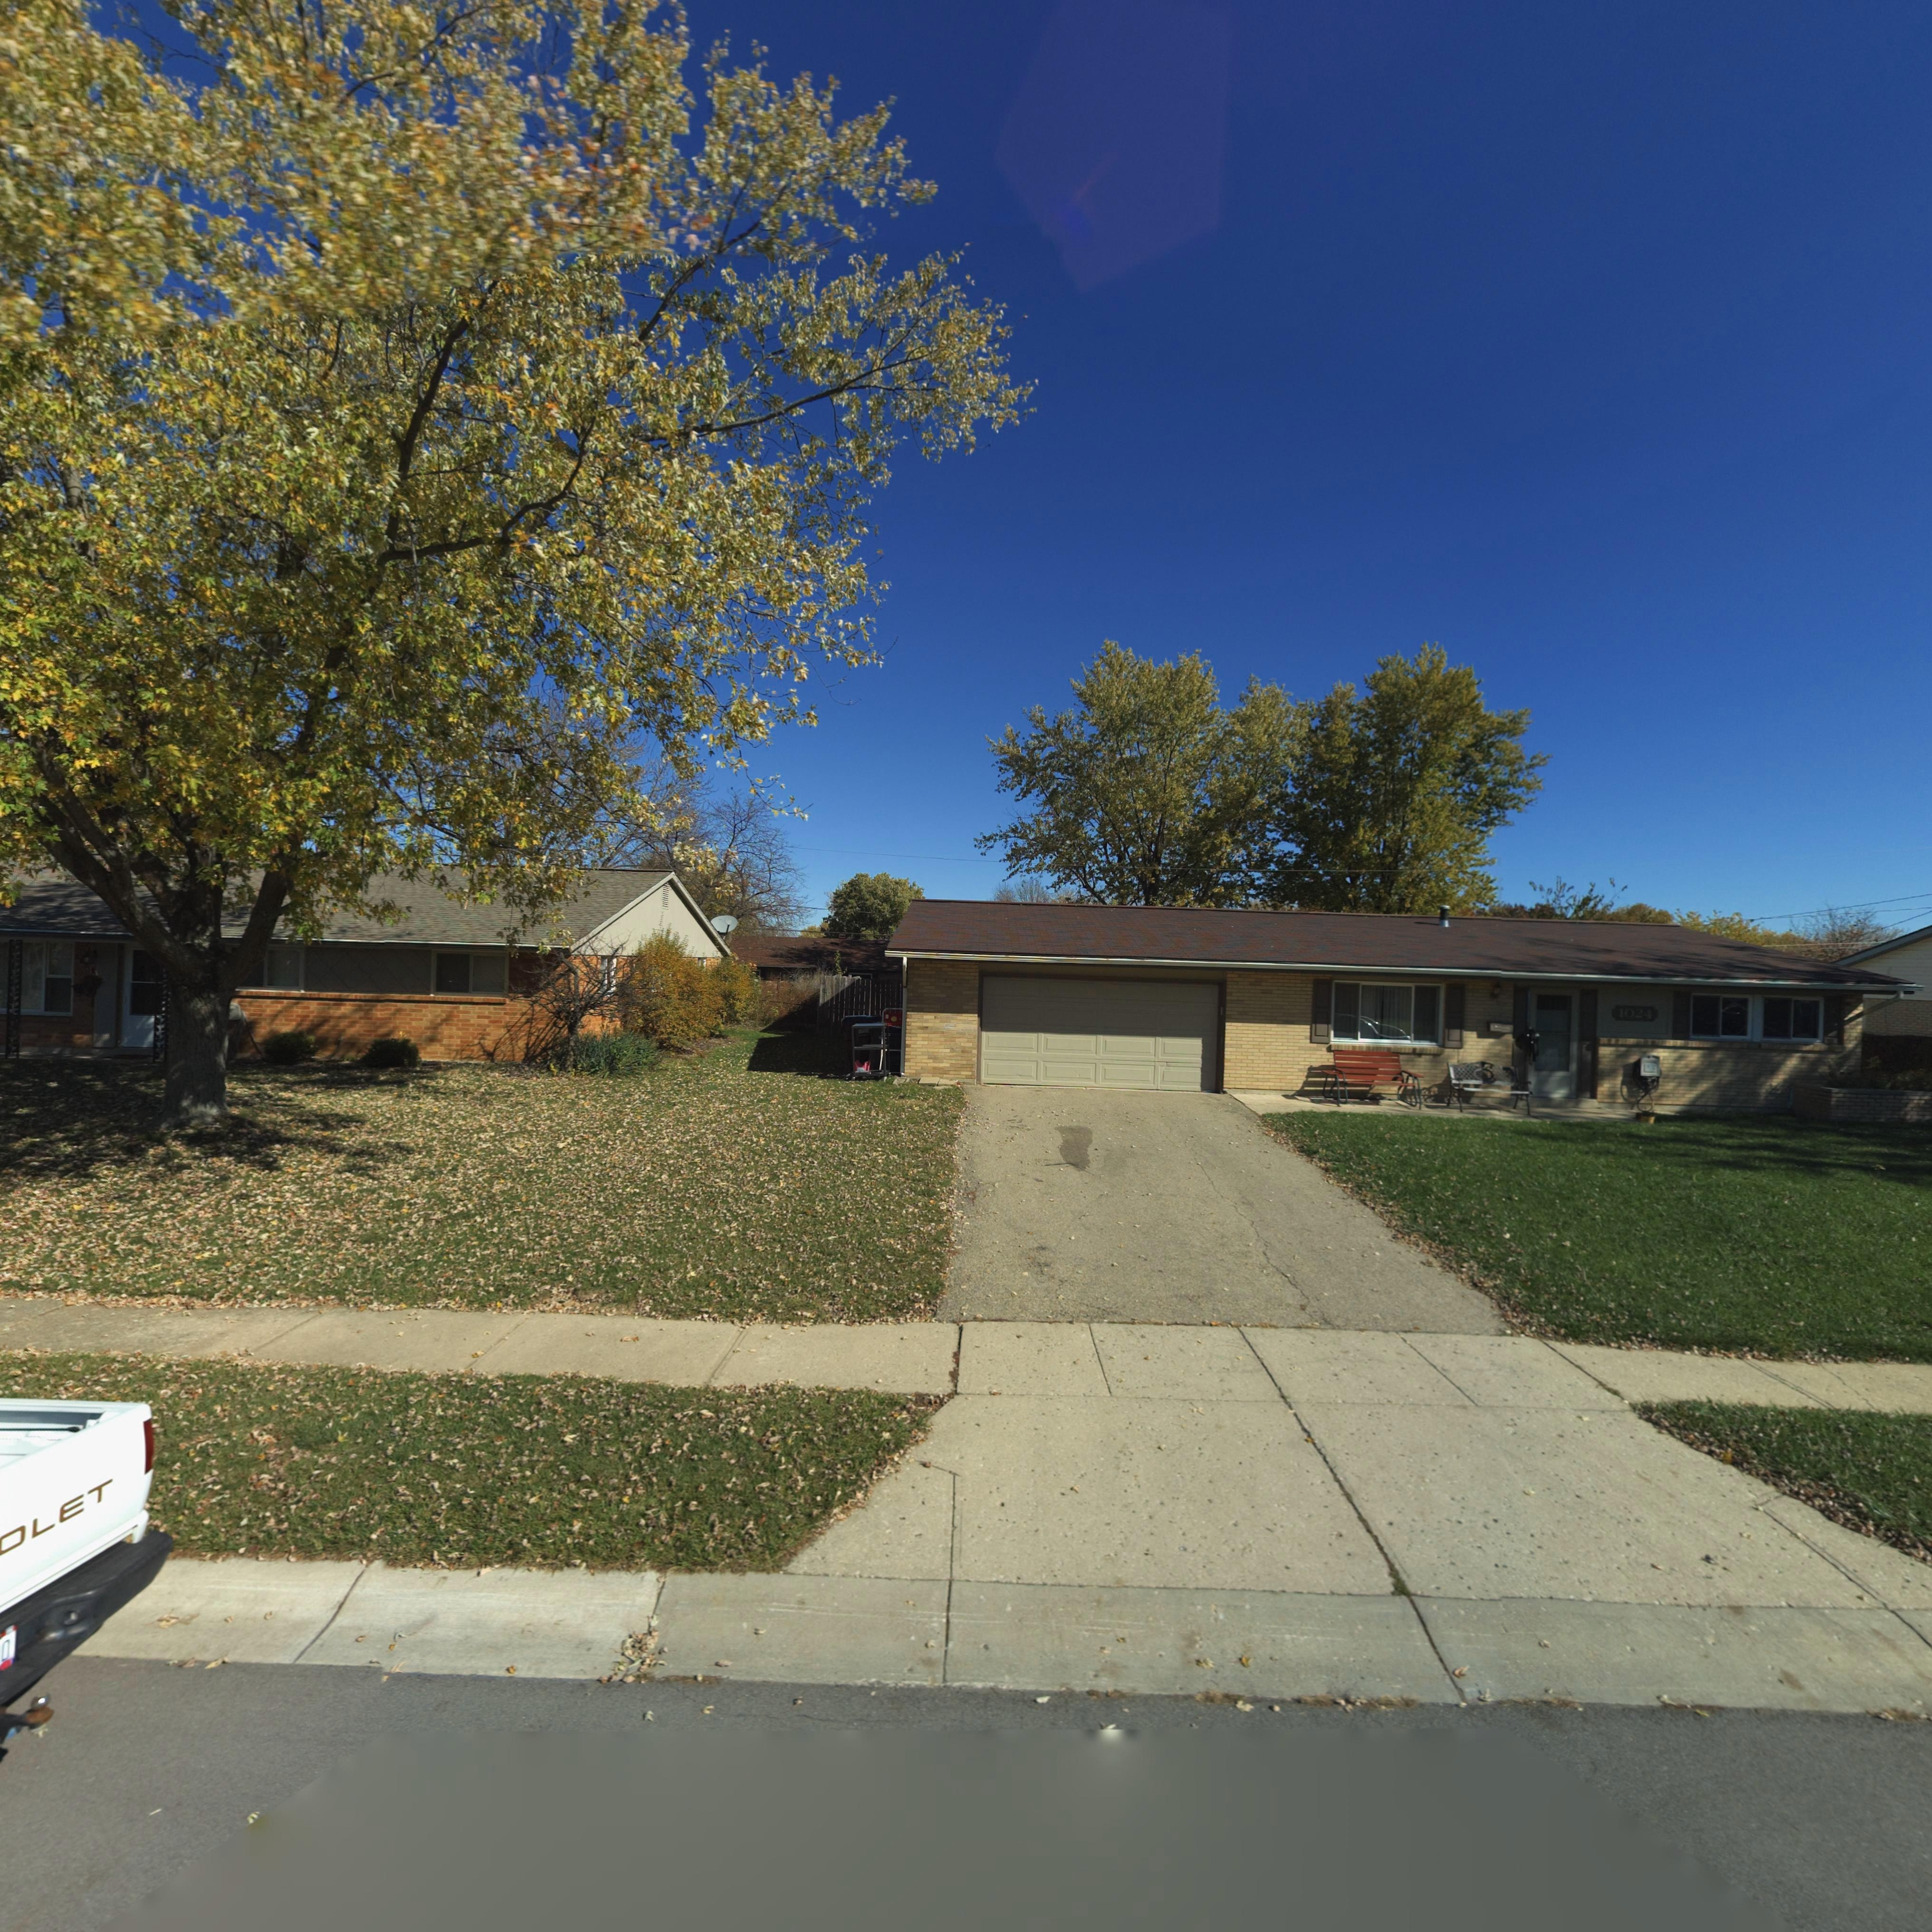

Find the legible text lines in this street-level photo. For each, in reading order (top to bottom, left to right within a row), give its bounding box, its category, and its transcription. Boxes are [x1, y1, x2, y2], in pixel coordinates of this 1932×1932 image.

[1619, 1006, 1654, 1021] StreetNumber: 1024